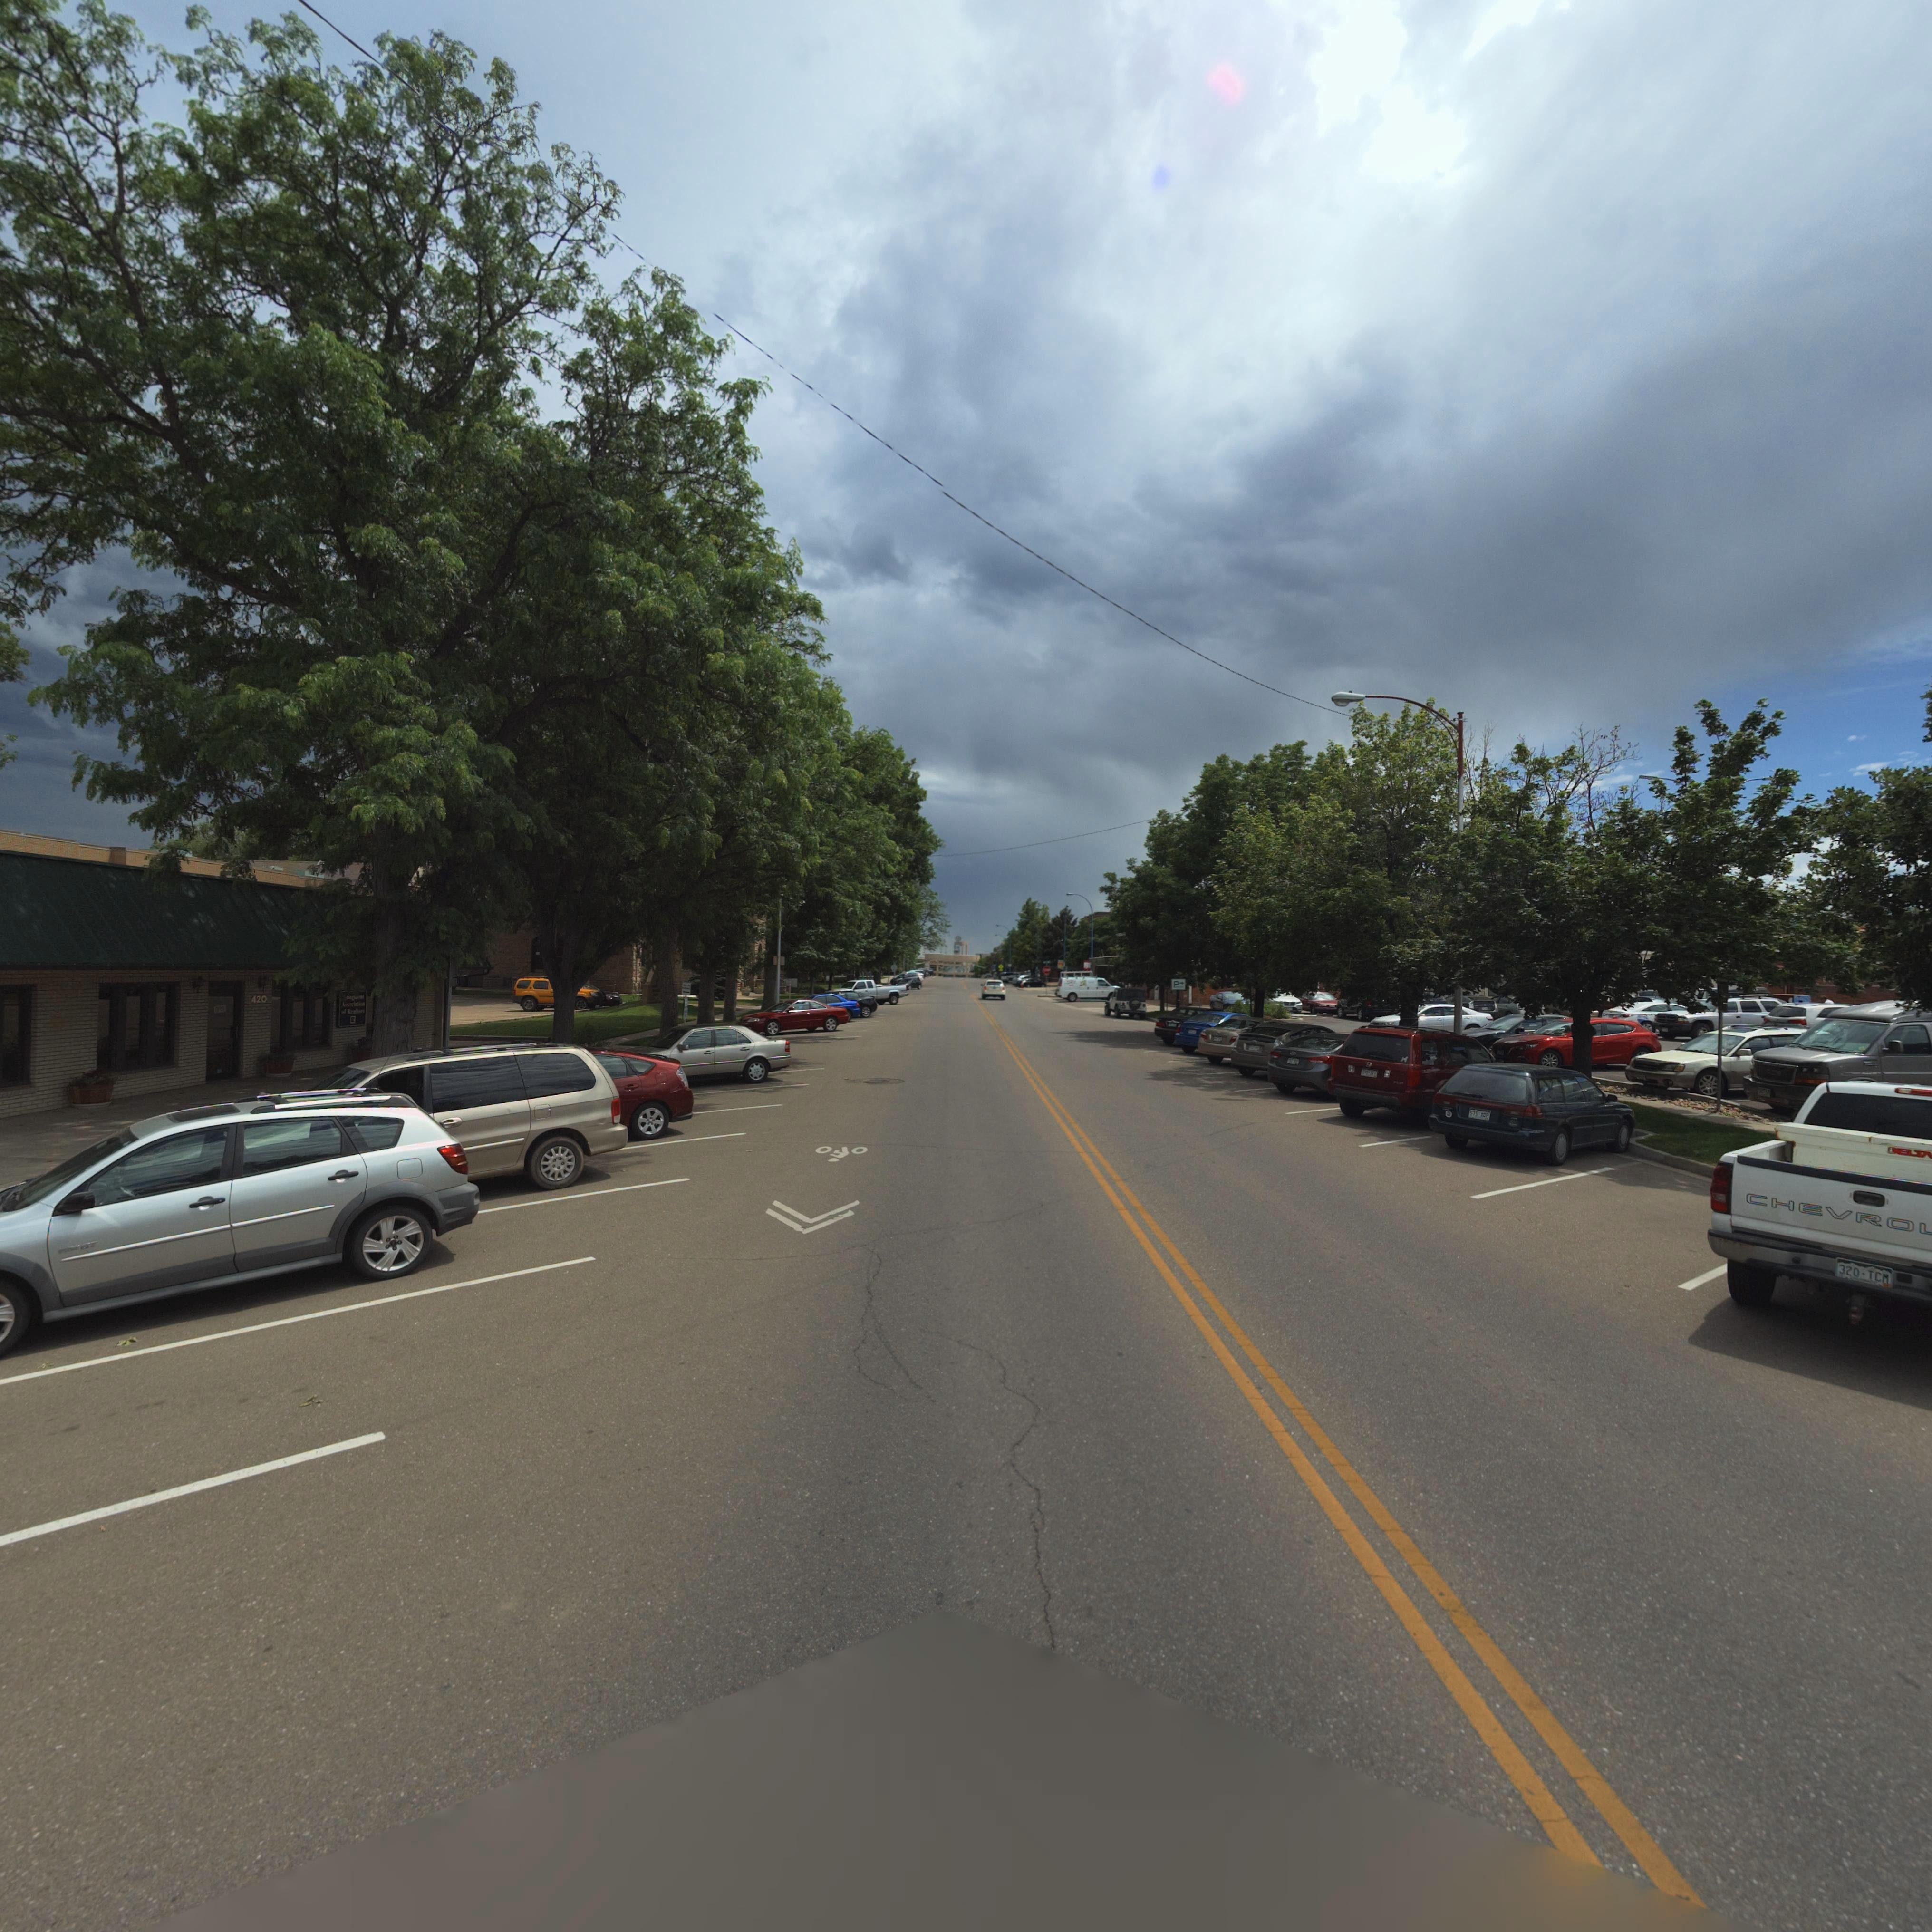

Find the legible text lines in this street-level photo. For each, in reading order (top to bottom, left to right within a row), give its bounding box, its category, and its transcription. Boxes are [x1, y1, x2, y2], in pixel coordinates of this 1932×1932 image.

[251, 994, 267, 1004] StreetNumber: 420
[346, 994, 364, 1001] BusinessName: ongmont
[341, 1001, 366, 1007] BusinessName: Associates
[341, 1007, 365, 1014] BusinessName: of Realtors